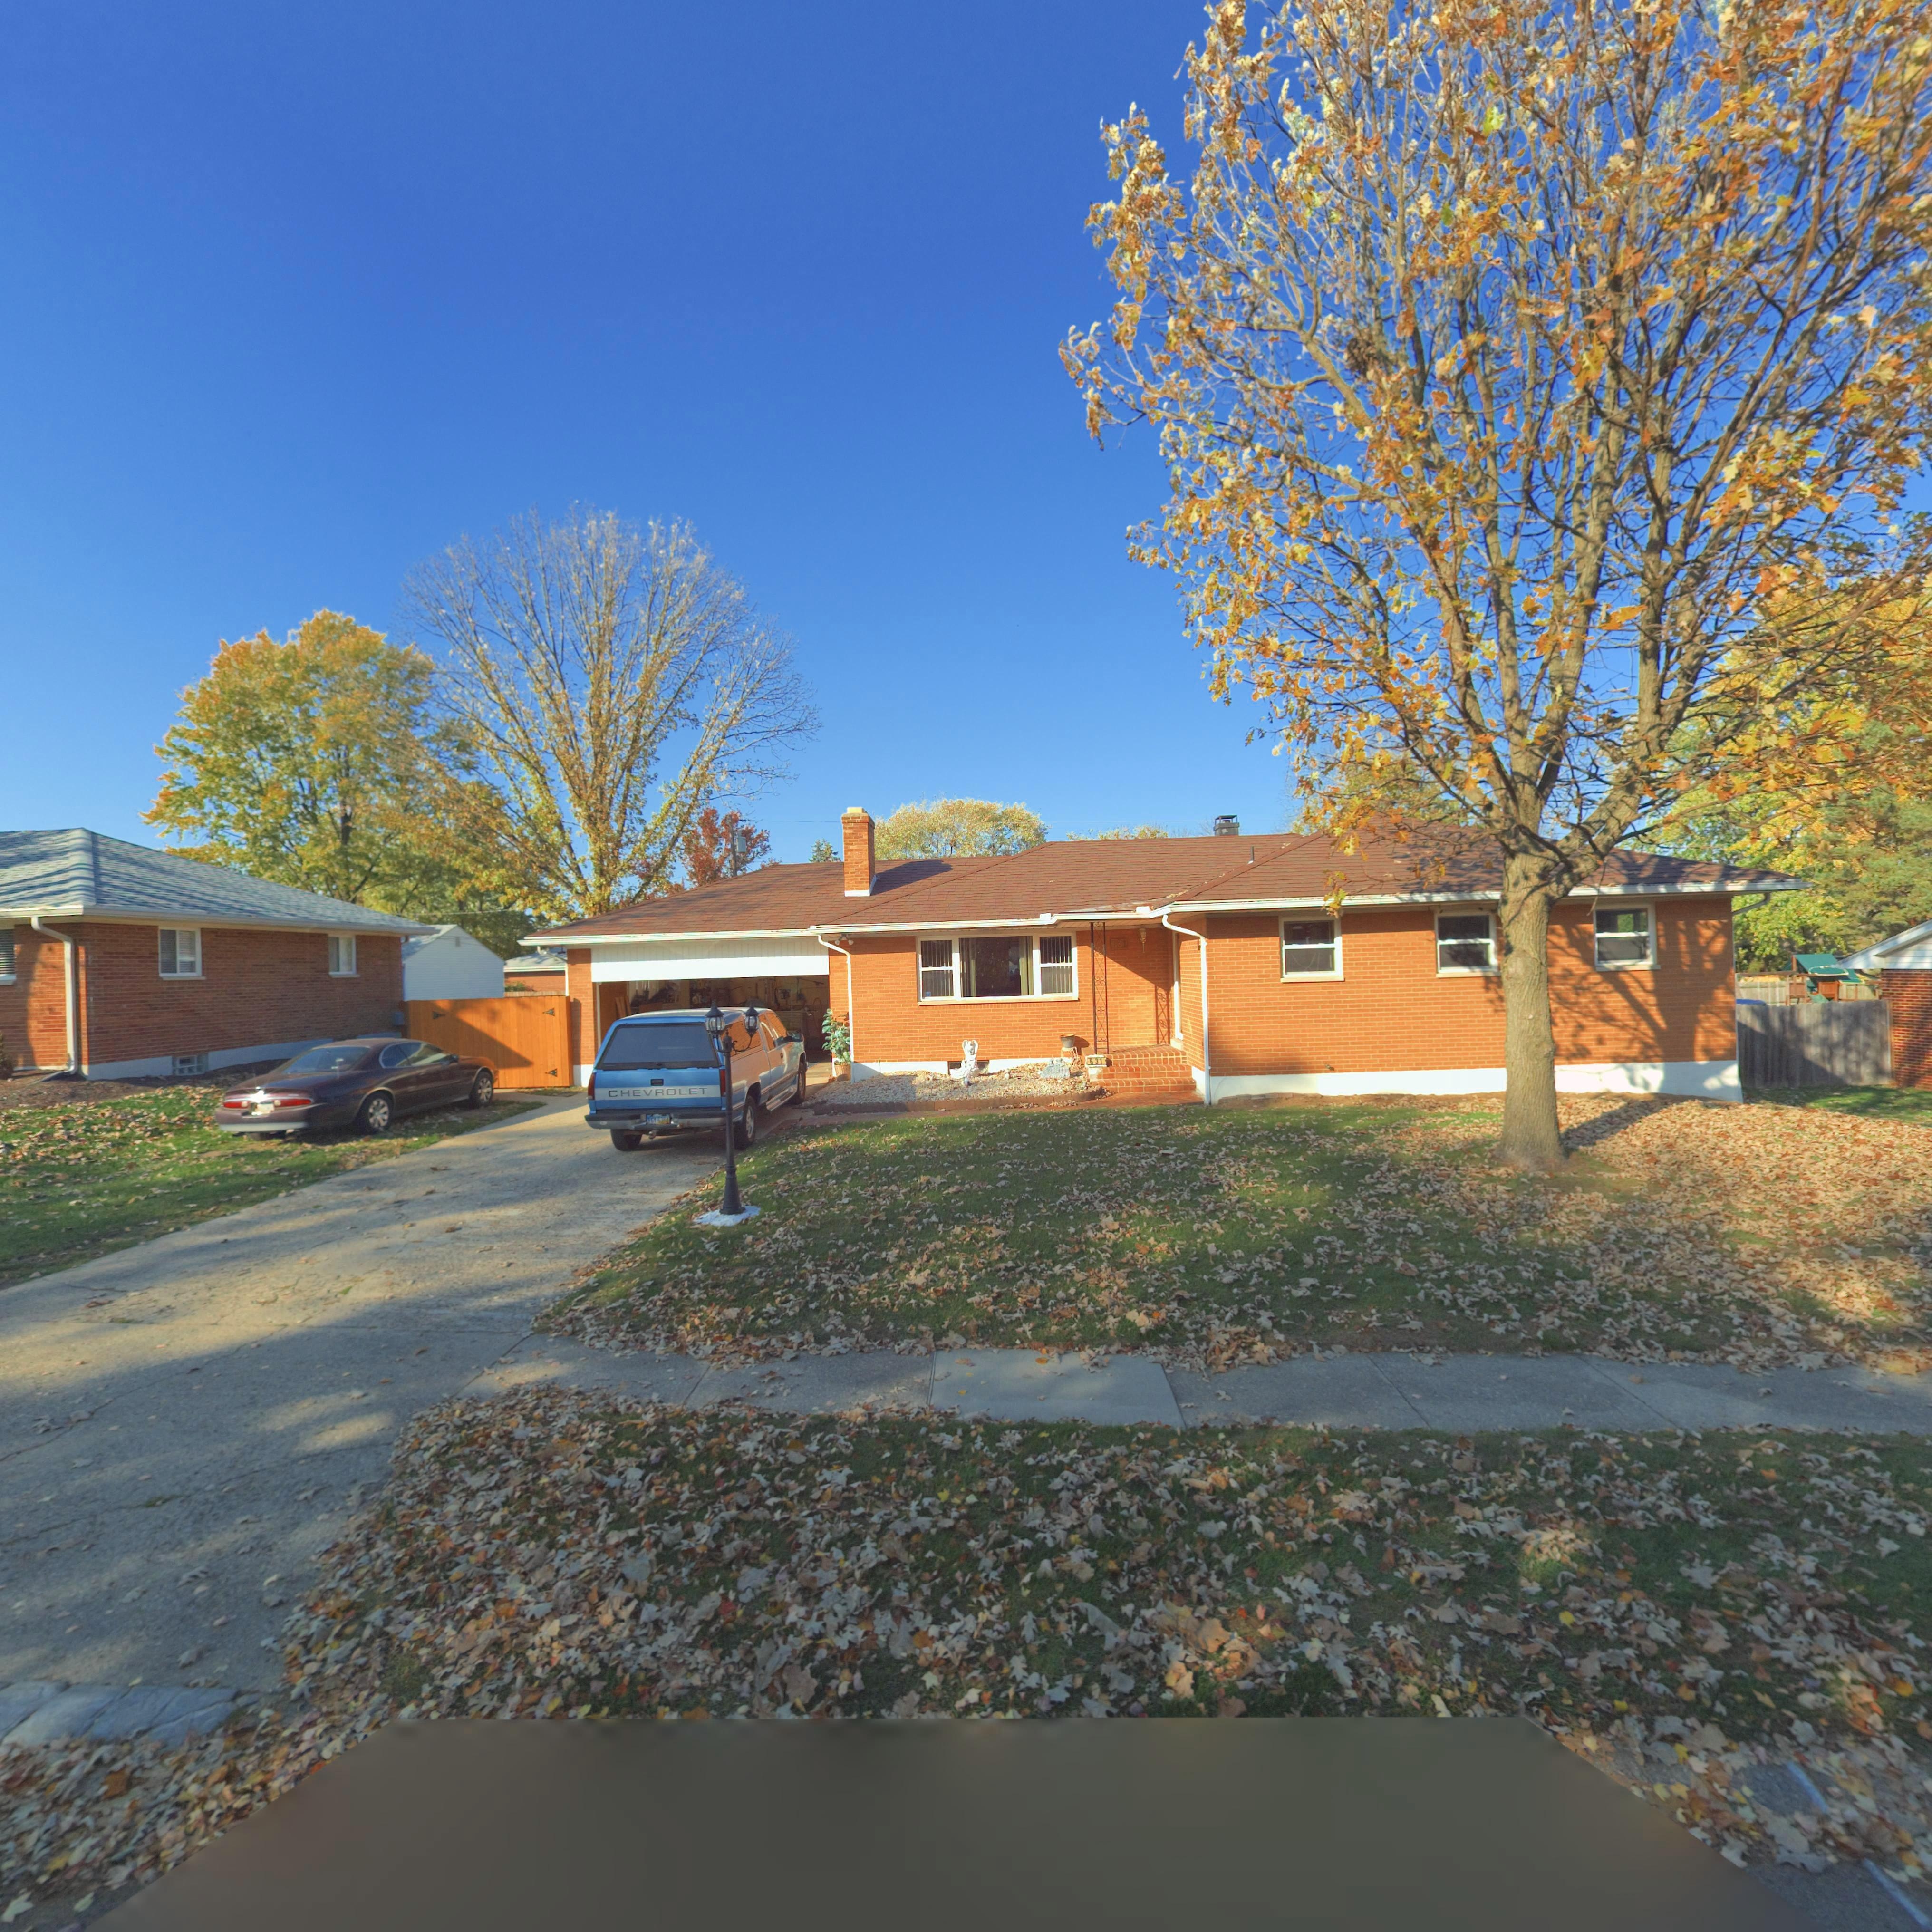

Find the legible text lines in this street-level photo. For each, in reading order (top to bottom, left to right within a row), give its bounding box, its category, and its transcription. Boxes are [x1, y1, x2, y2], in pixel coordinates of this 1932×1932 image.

[1111, 938, 1128, 949] StreetNumber: 631